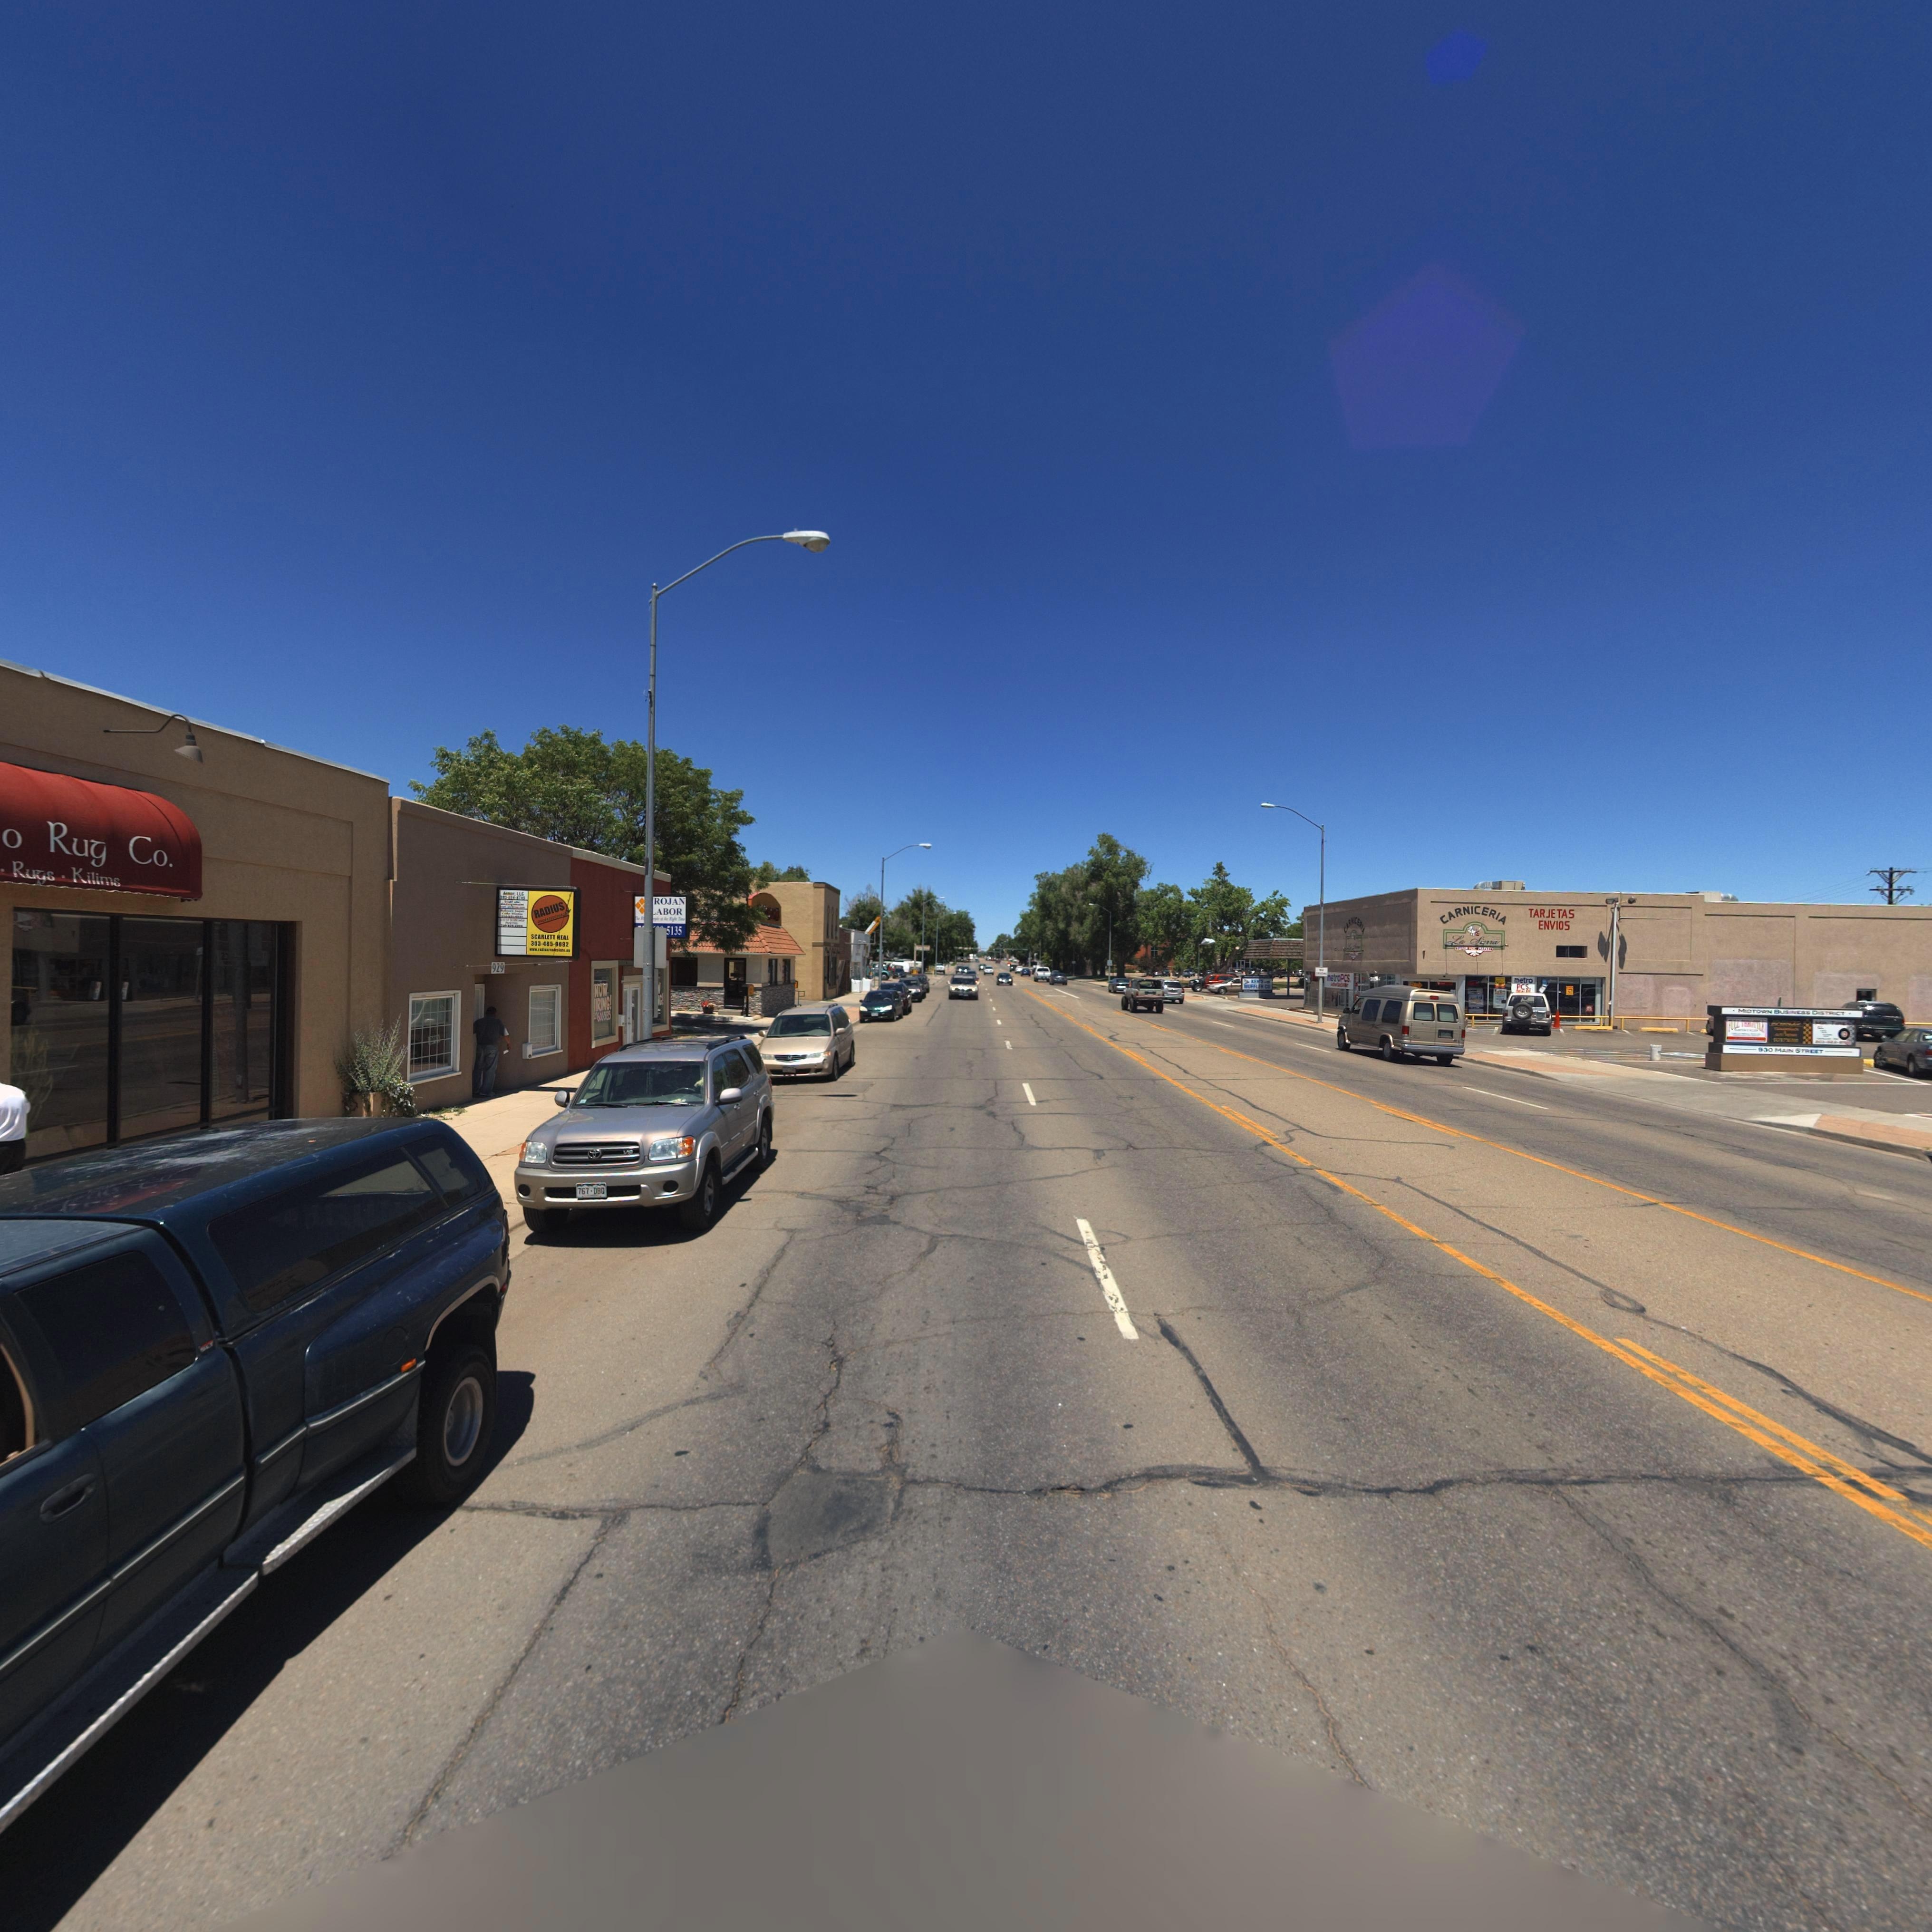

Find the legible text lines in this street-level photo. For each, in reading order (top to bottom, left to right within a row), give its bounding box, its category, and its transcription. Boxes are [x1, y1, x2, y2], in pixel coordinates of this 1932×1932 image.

[0, 819, 176, 870] BusinessName: o Rug Co.
[654, 897, 686, 905] BusinessName: ROJAN
[532, 901, 565, 918] BusinessName: RADIUS
[655, 907, 683, 916] BusinessName: ABOR
[1446, 935, 1500, 946] BusinessName: La Sierra
[1345, 942, 1360, 950] BusinessName: L* ******
[492, 963, 504, 973] StreetNumber: 929
[1251, 979, 1264, 984] BusinessName: KEN'S
[1244, 984, 1270, 989] BusinessName: MUFFLER CO
[1728, 1019, 1764, 1033] BusinessName: FULL ******ILE
[1815, 1020, 1852, 1025] BusinessName: MR T****
[1758, 1047, 1773, 1052] StreetNumber: 930
[1774, 1047, 1823, 1053] StreetName: MAIN STREET